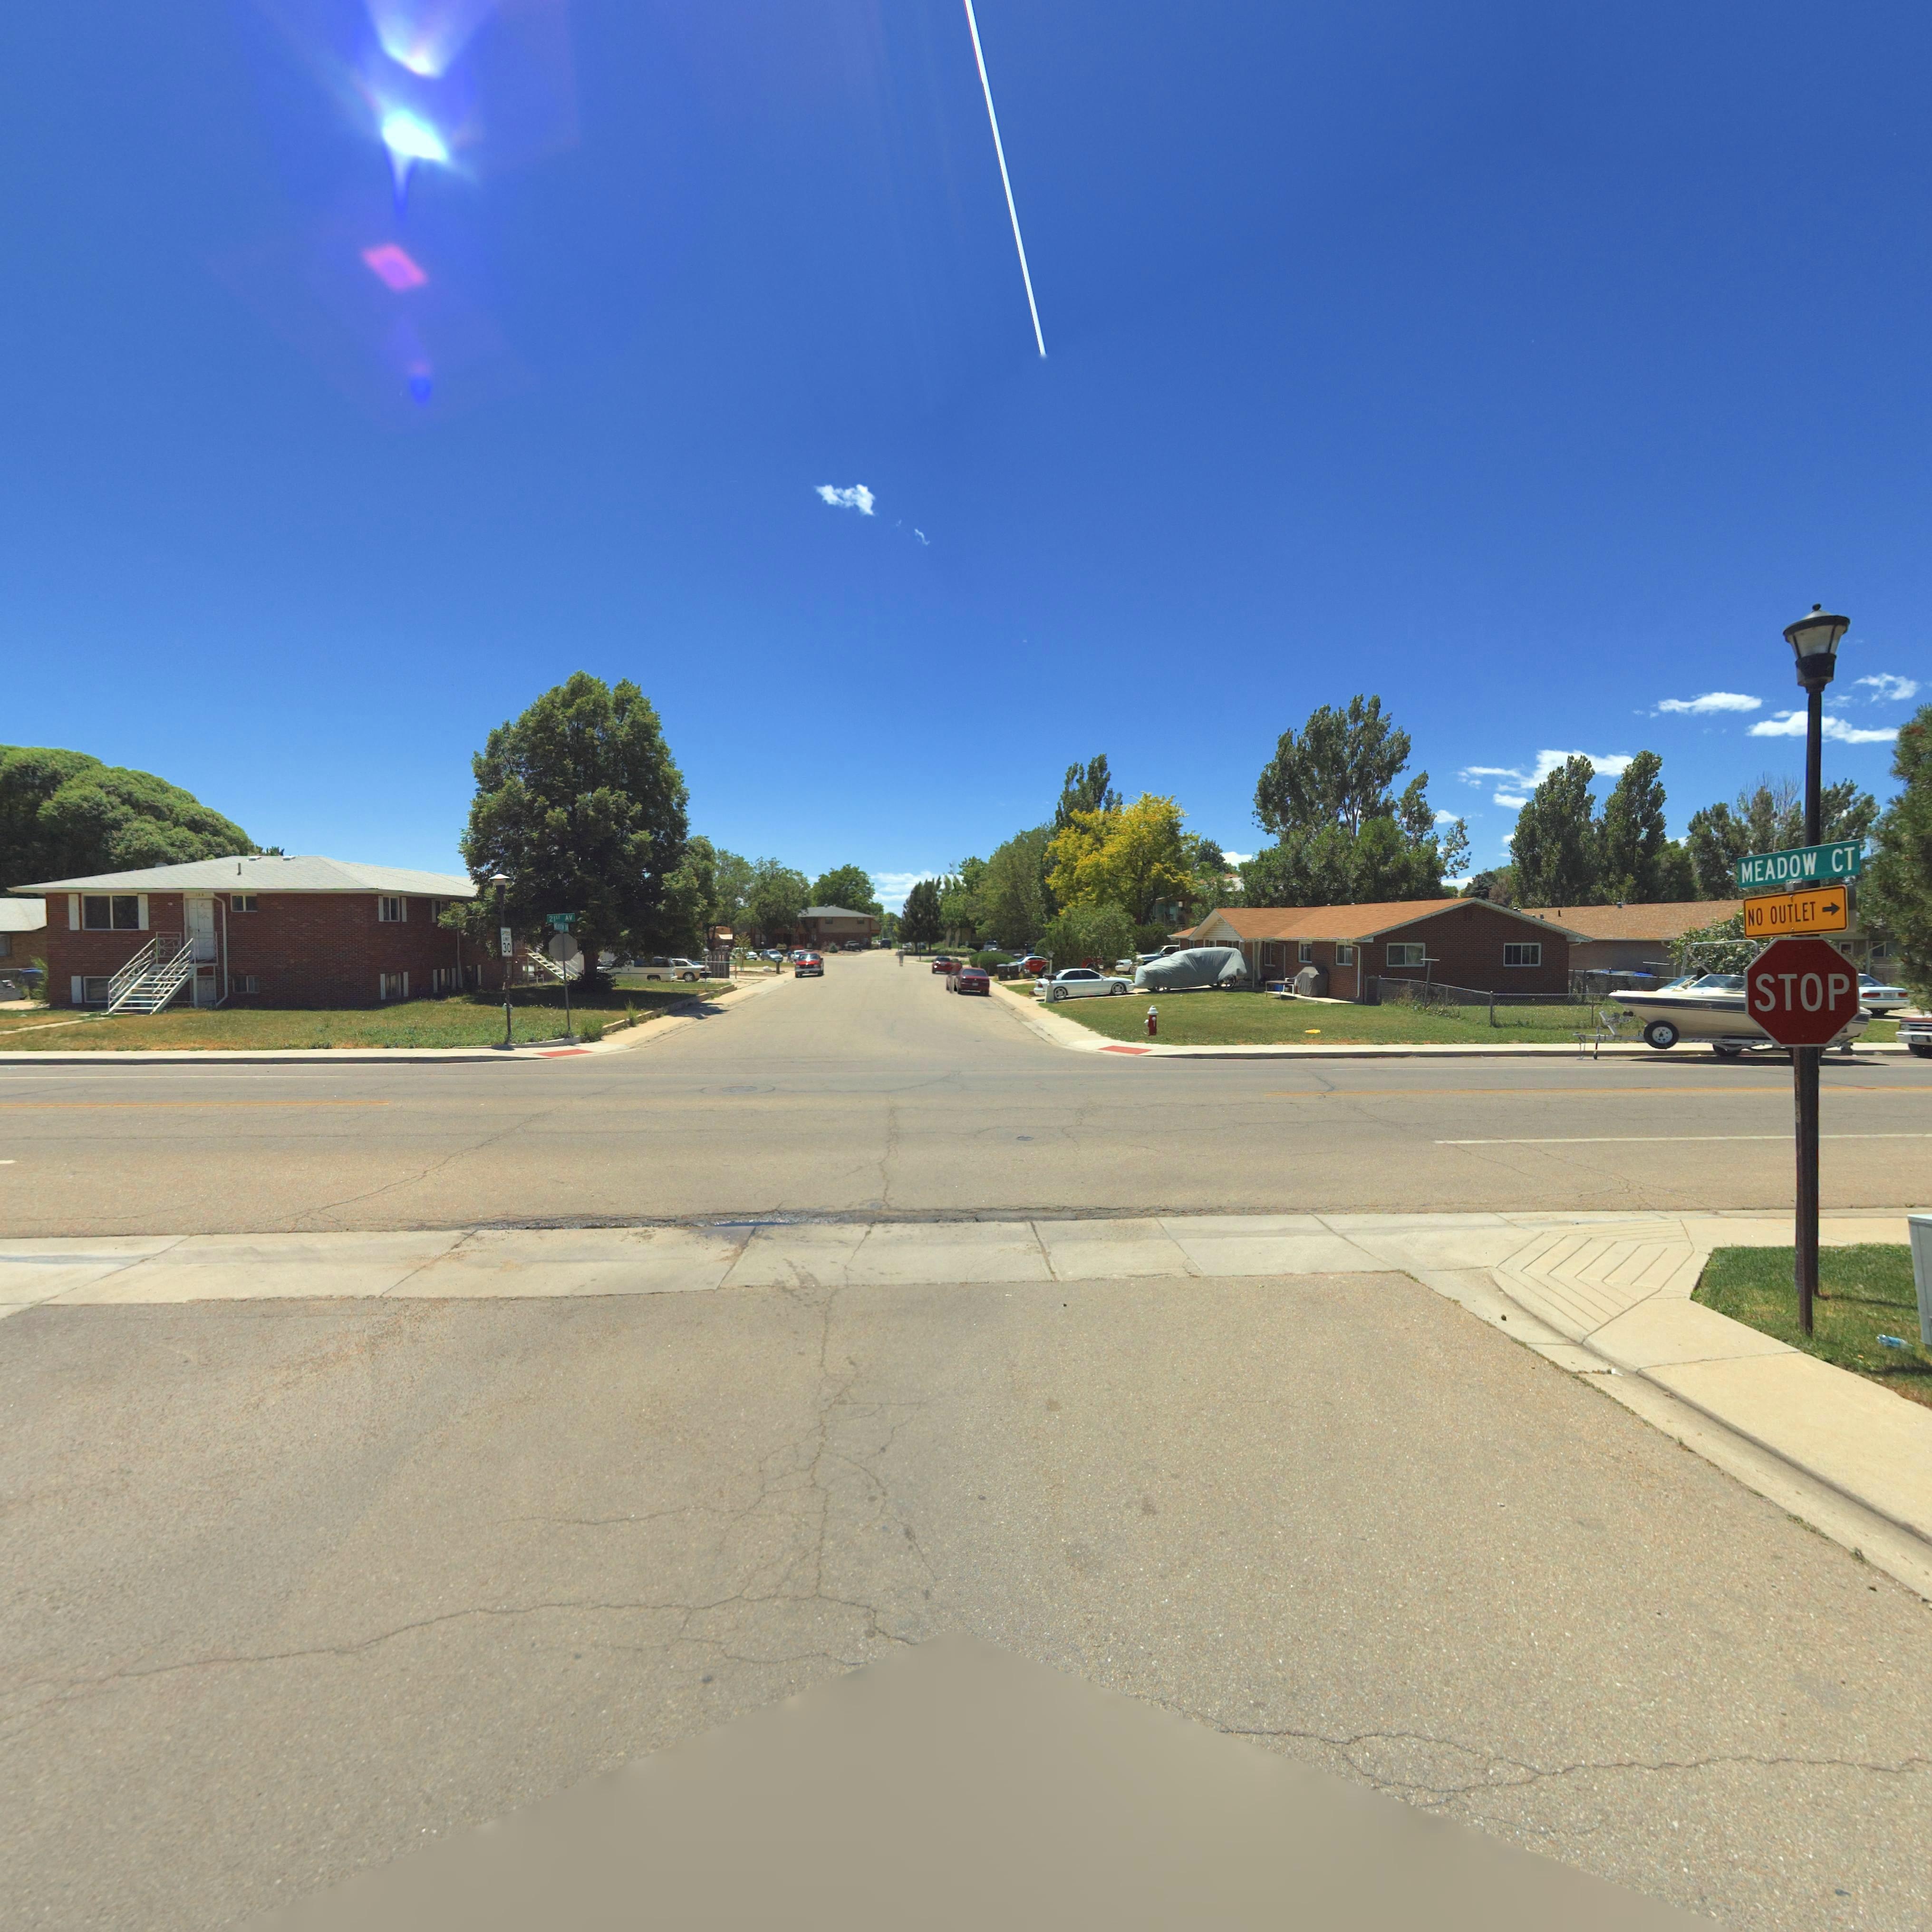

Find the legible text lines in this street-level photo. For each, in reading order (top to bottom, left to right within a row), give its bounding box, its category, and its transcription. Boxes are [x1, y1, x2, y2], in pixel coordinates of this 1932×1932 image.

[1740, 846, 1855, 884] StreetName: MEADOW CT
[549, 914, 573, 922] StreetName: 21st AV